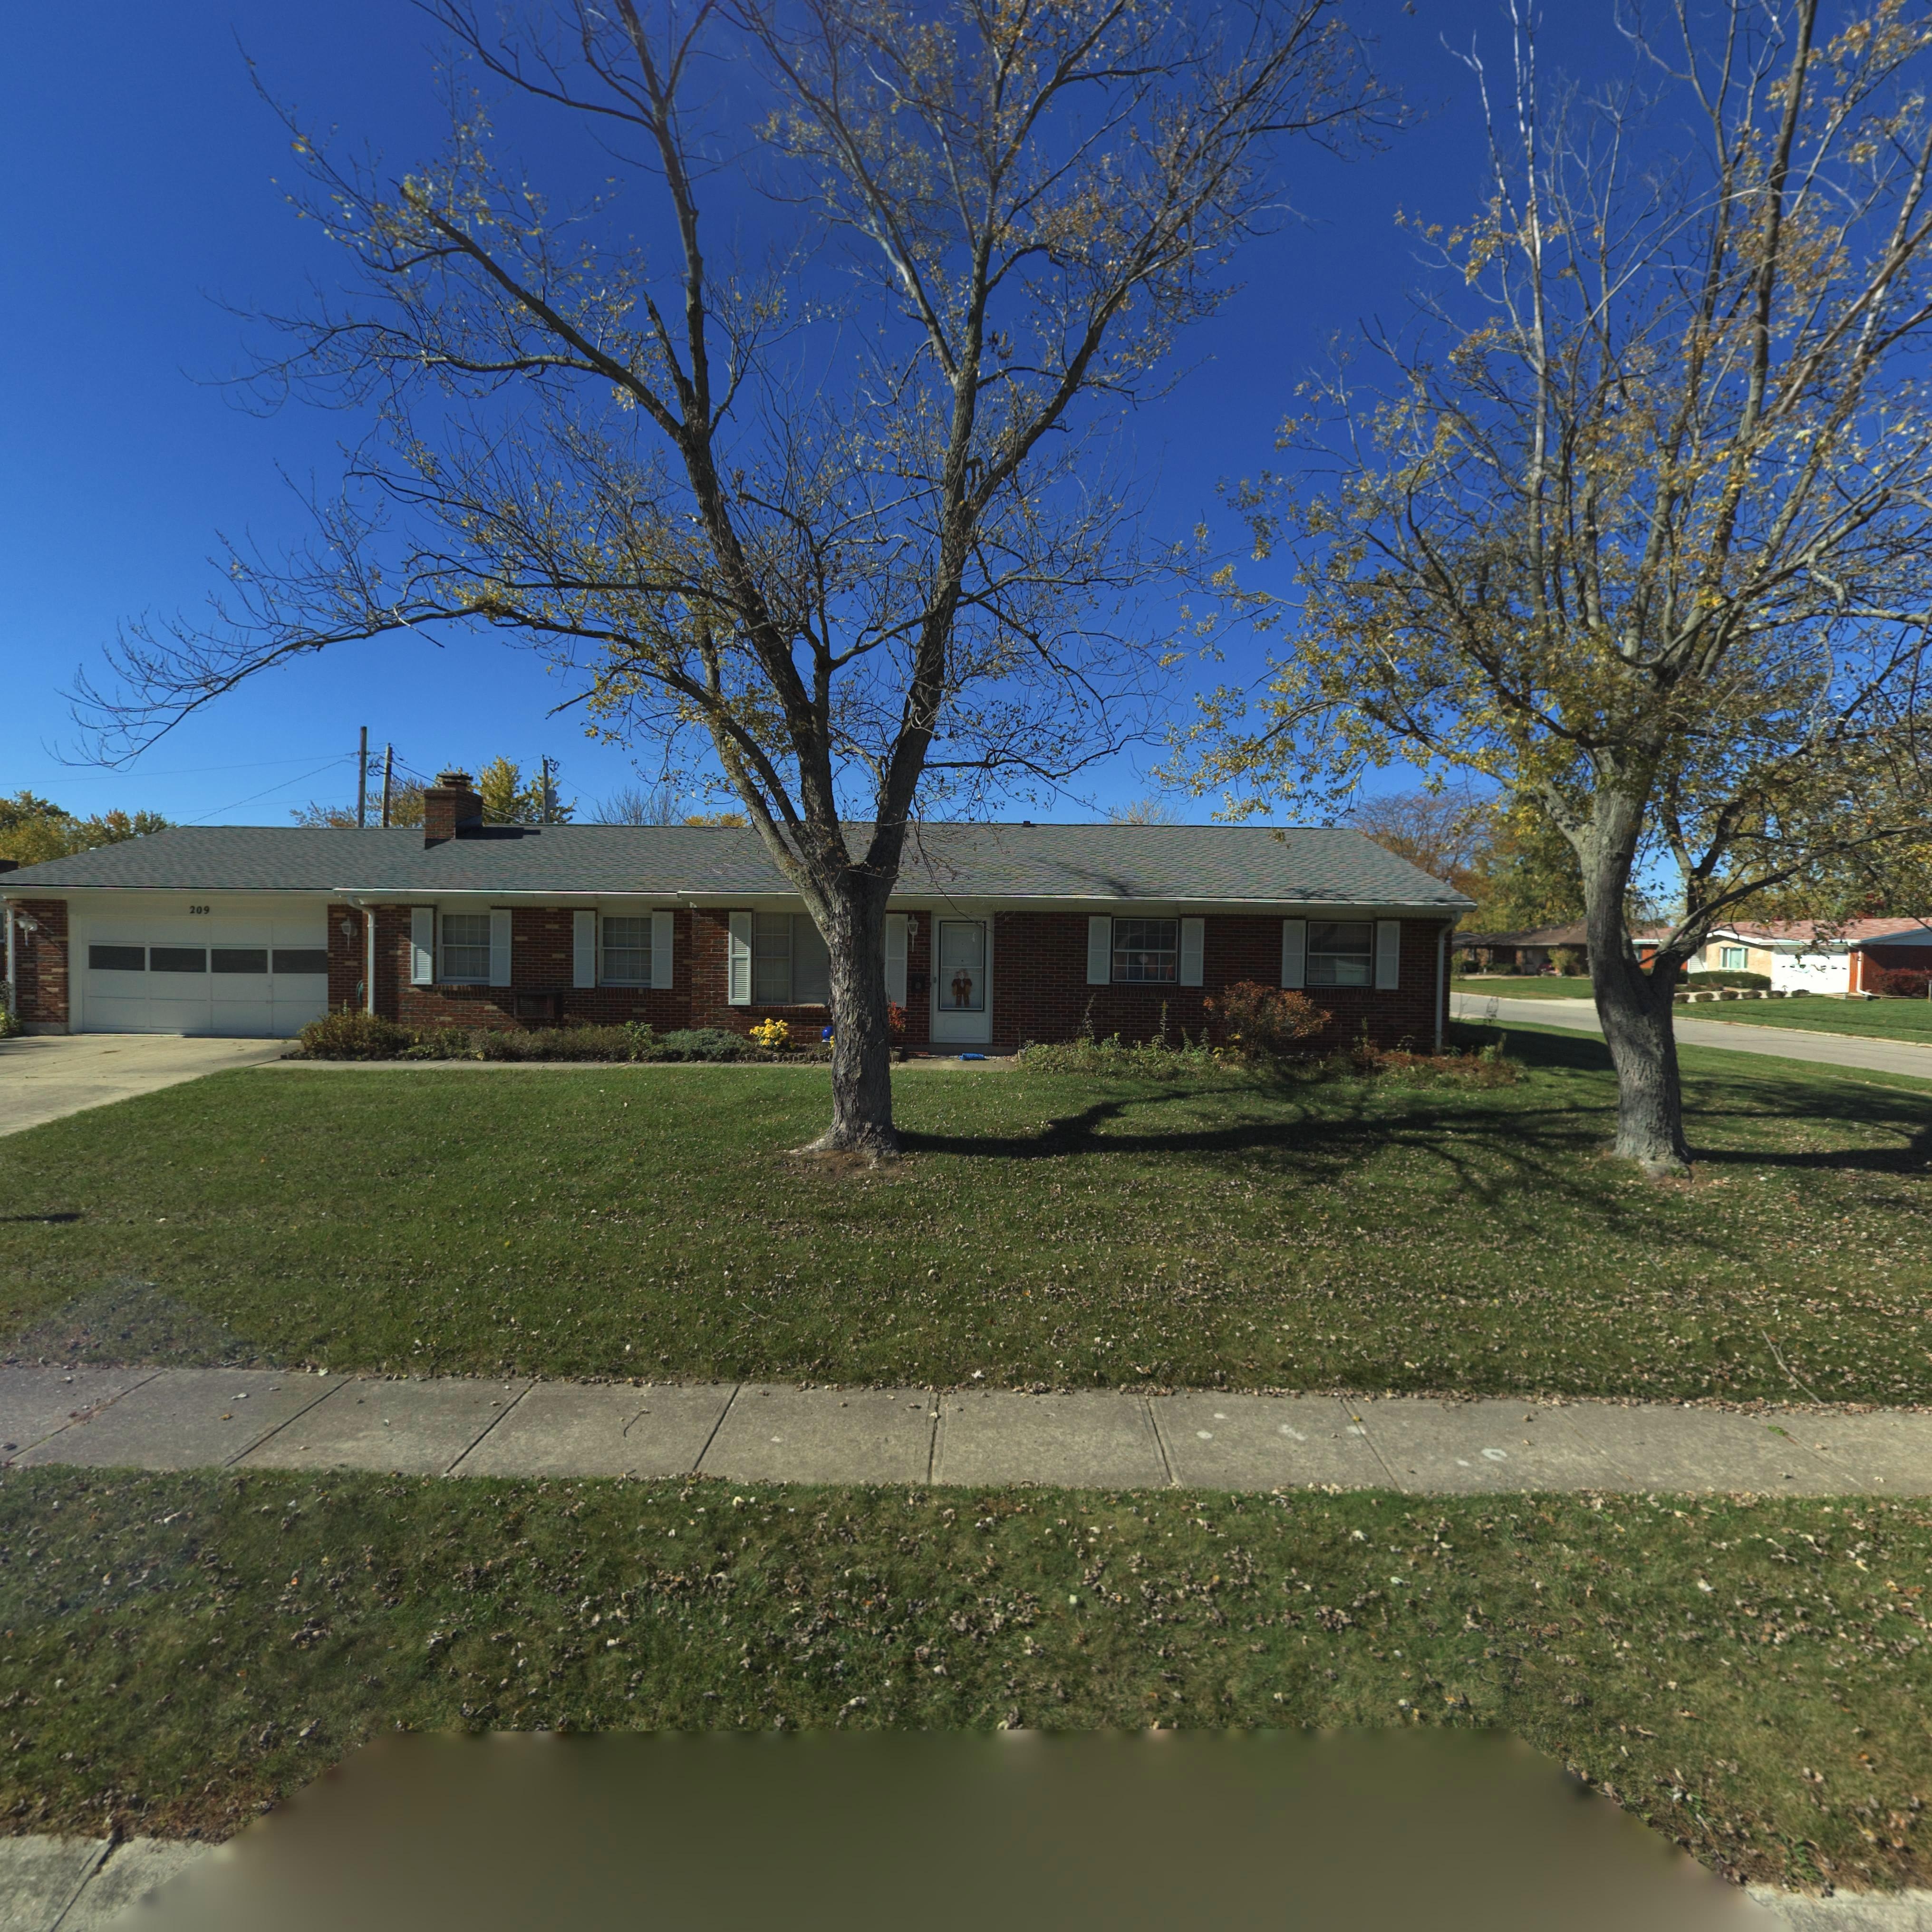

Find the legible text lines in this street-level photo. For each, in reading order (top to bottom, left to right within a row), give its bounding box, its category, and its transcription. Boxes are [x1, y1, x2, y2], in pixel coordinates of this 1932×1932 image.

[189, 905, 210, 914] StreetNumber: 209